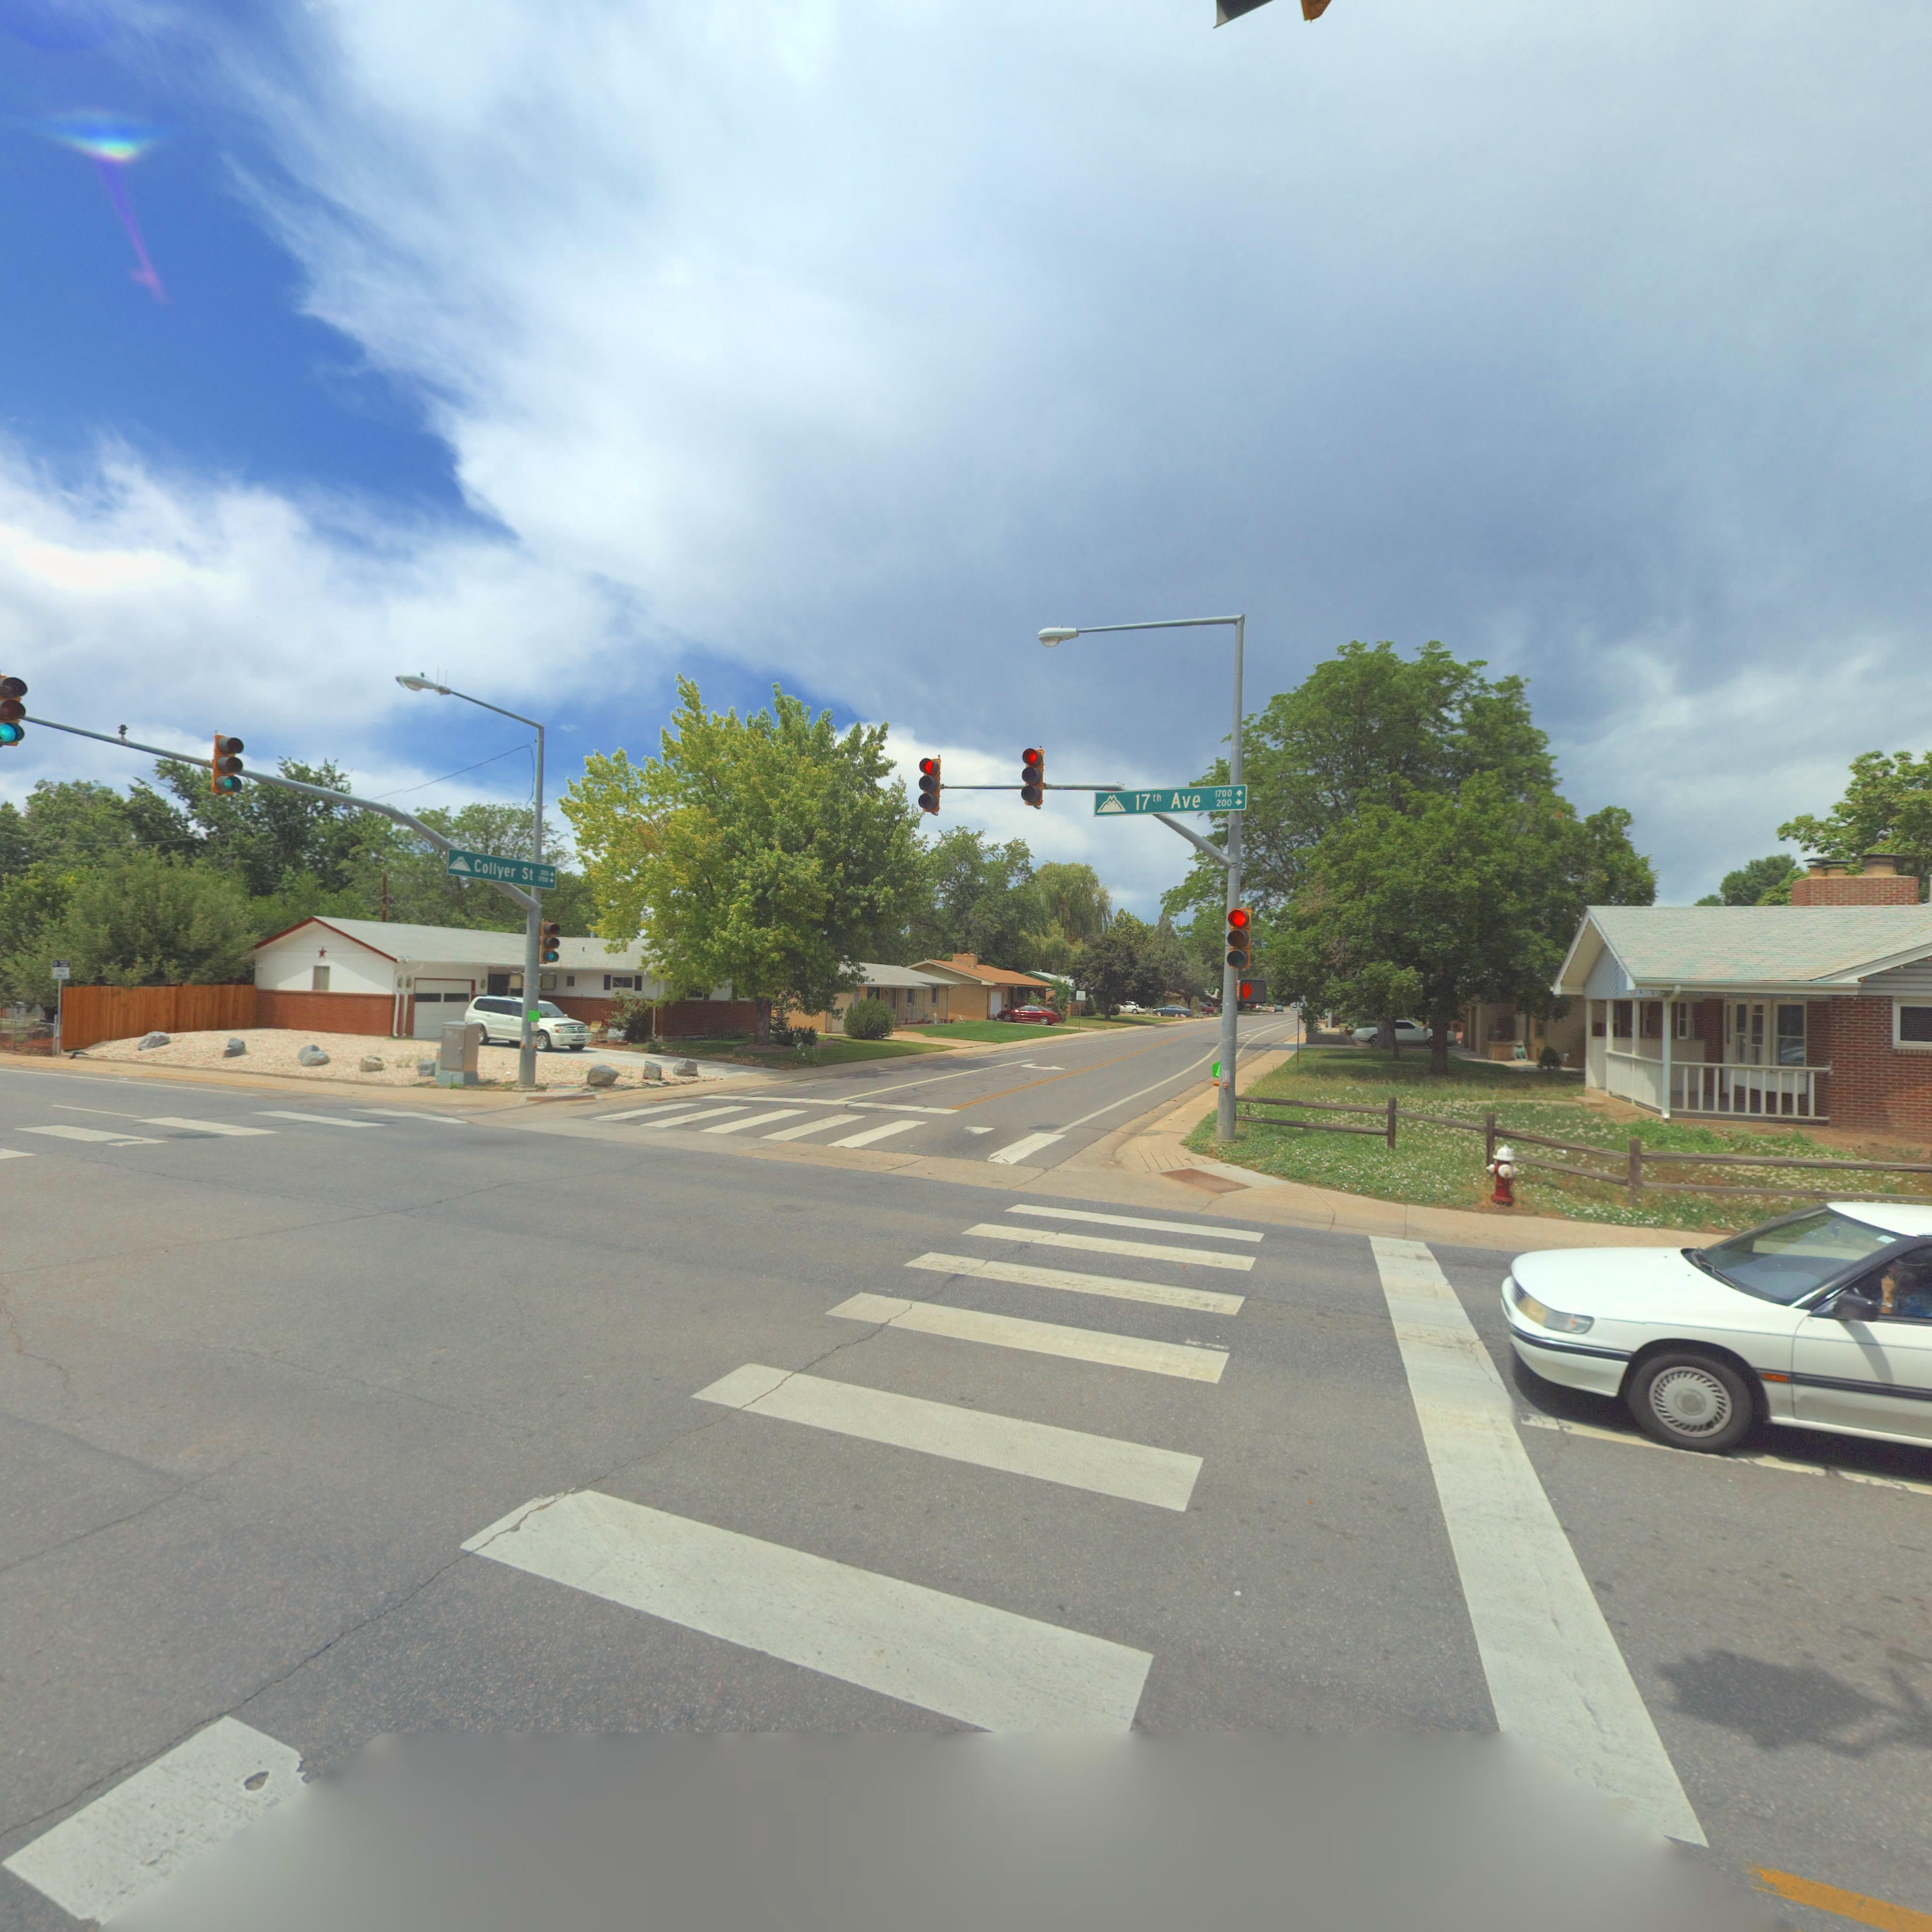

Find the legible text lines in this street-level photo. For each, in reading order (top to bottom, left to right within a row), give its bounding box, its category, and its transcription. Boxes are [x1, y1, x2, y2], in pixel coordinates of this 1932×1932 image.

[1214, 789, 1244, 797] StreetNumberRange: 1700->
[1134, 792, 1201, 811] StreetName: 17th Ave
[1216, 798, 1243, 807] StreetNumberRange: 200->
[473, 859, 534, 880] StreetName: Collyer St
[539, 869, 555, 877] StreetNumberRange: 300->
[537, 875, 554, 883] StreetNumberRange: 1300->
[1291, 1000, 1305, 1009] None: x*